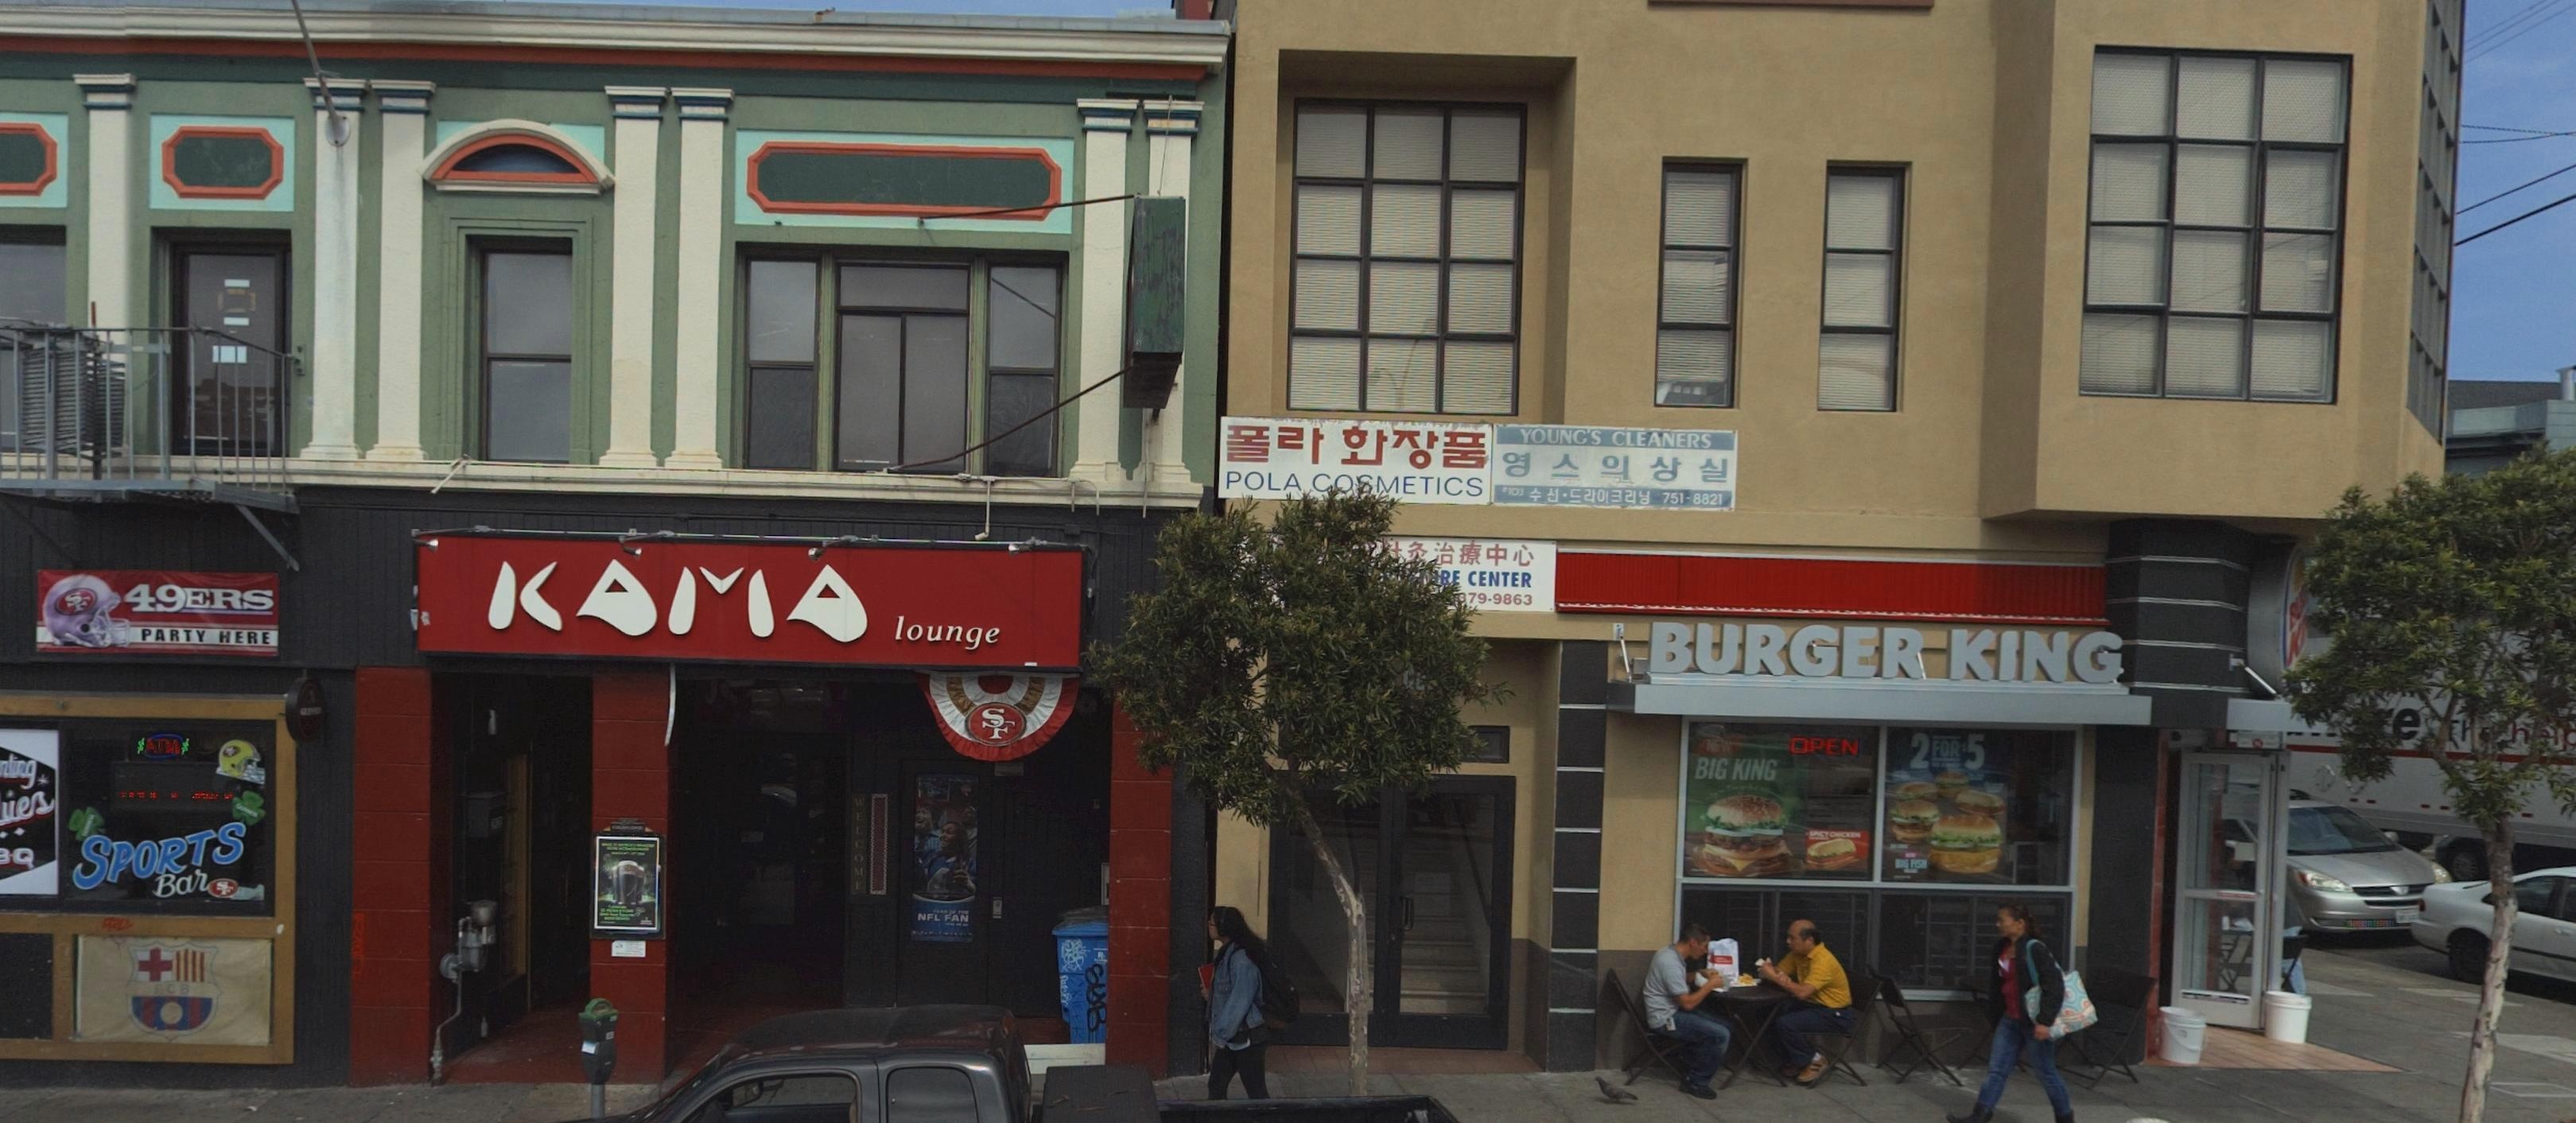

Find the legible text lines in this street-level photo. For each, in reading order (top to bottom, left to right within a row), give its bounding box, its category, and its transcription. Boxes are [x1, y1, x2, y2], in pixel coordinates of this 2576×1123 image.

[1515, 427, 1716, 451] BusinessName: YOUNG'S CLEANERS
[1224, 467, 1486, 499] BusinessName: POLA COSMETICS
[1449, 567, 1533, 591] BusinessName: E CENTER
[61, 587, 85, 611] None: S
[116, 581, 275, 616] None: 49ERS
[476, 557, 1005, 656] BusinessName: KAMA lounge
[1466, 590, 1535, 608] None: 79-9863
[138, 627, 272, 648] None: PARTY HERE
[1645, 612, 2127, 686] BusinessName: BURGER KING
[979, 705, 1007, 732] None: S
[2380, 701, 2433, 751] None: e
[138, 735, 184, 758] None: ATM
[1786, 733, 1860, 760] None: OPEN
[1906, 728, 1988, 773] None: 2FOR5
[6, 754, 41, 795] None: ing
[1687, 753, 1780, 783] None: BIG KING
[2, 786, 58, 829] None: uers
[7, 845, 40, 874] None: Q
[65, 818, 252, 894] None: SPORTS
[849, 792, 867, 896] None: WELCOME
[1805, 829, 1863, 840] None: SPICY CHICKEN
[1893, 857, 1929, 872] None: BIG FISH
[150, 865, 212, 902] None: Bar
[213, 878, 231, 895] None: S
[914, 912, 971, 924] None: NFL FAN
[150, 982, 193, 999] None: FCB